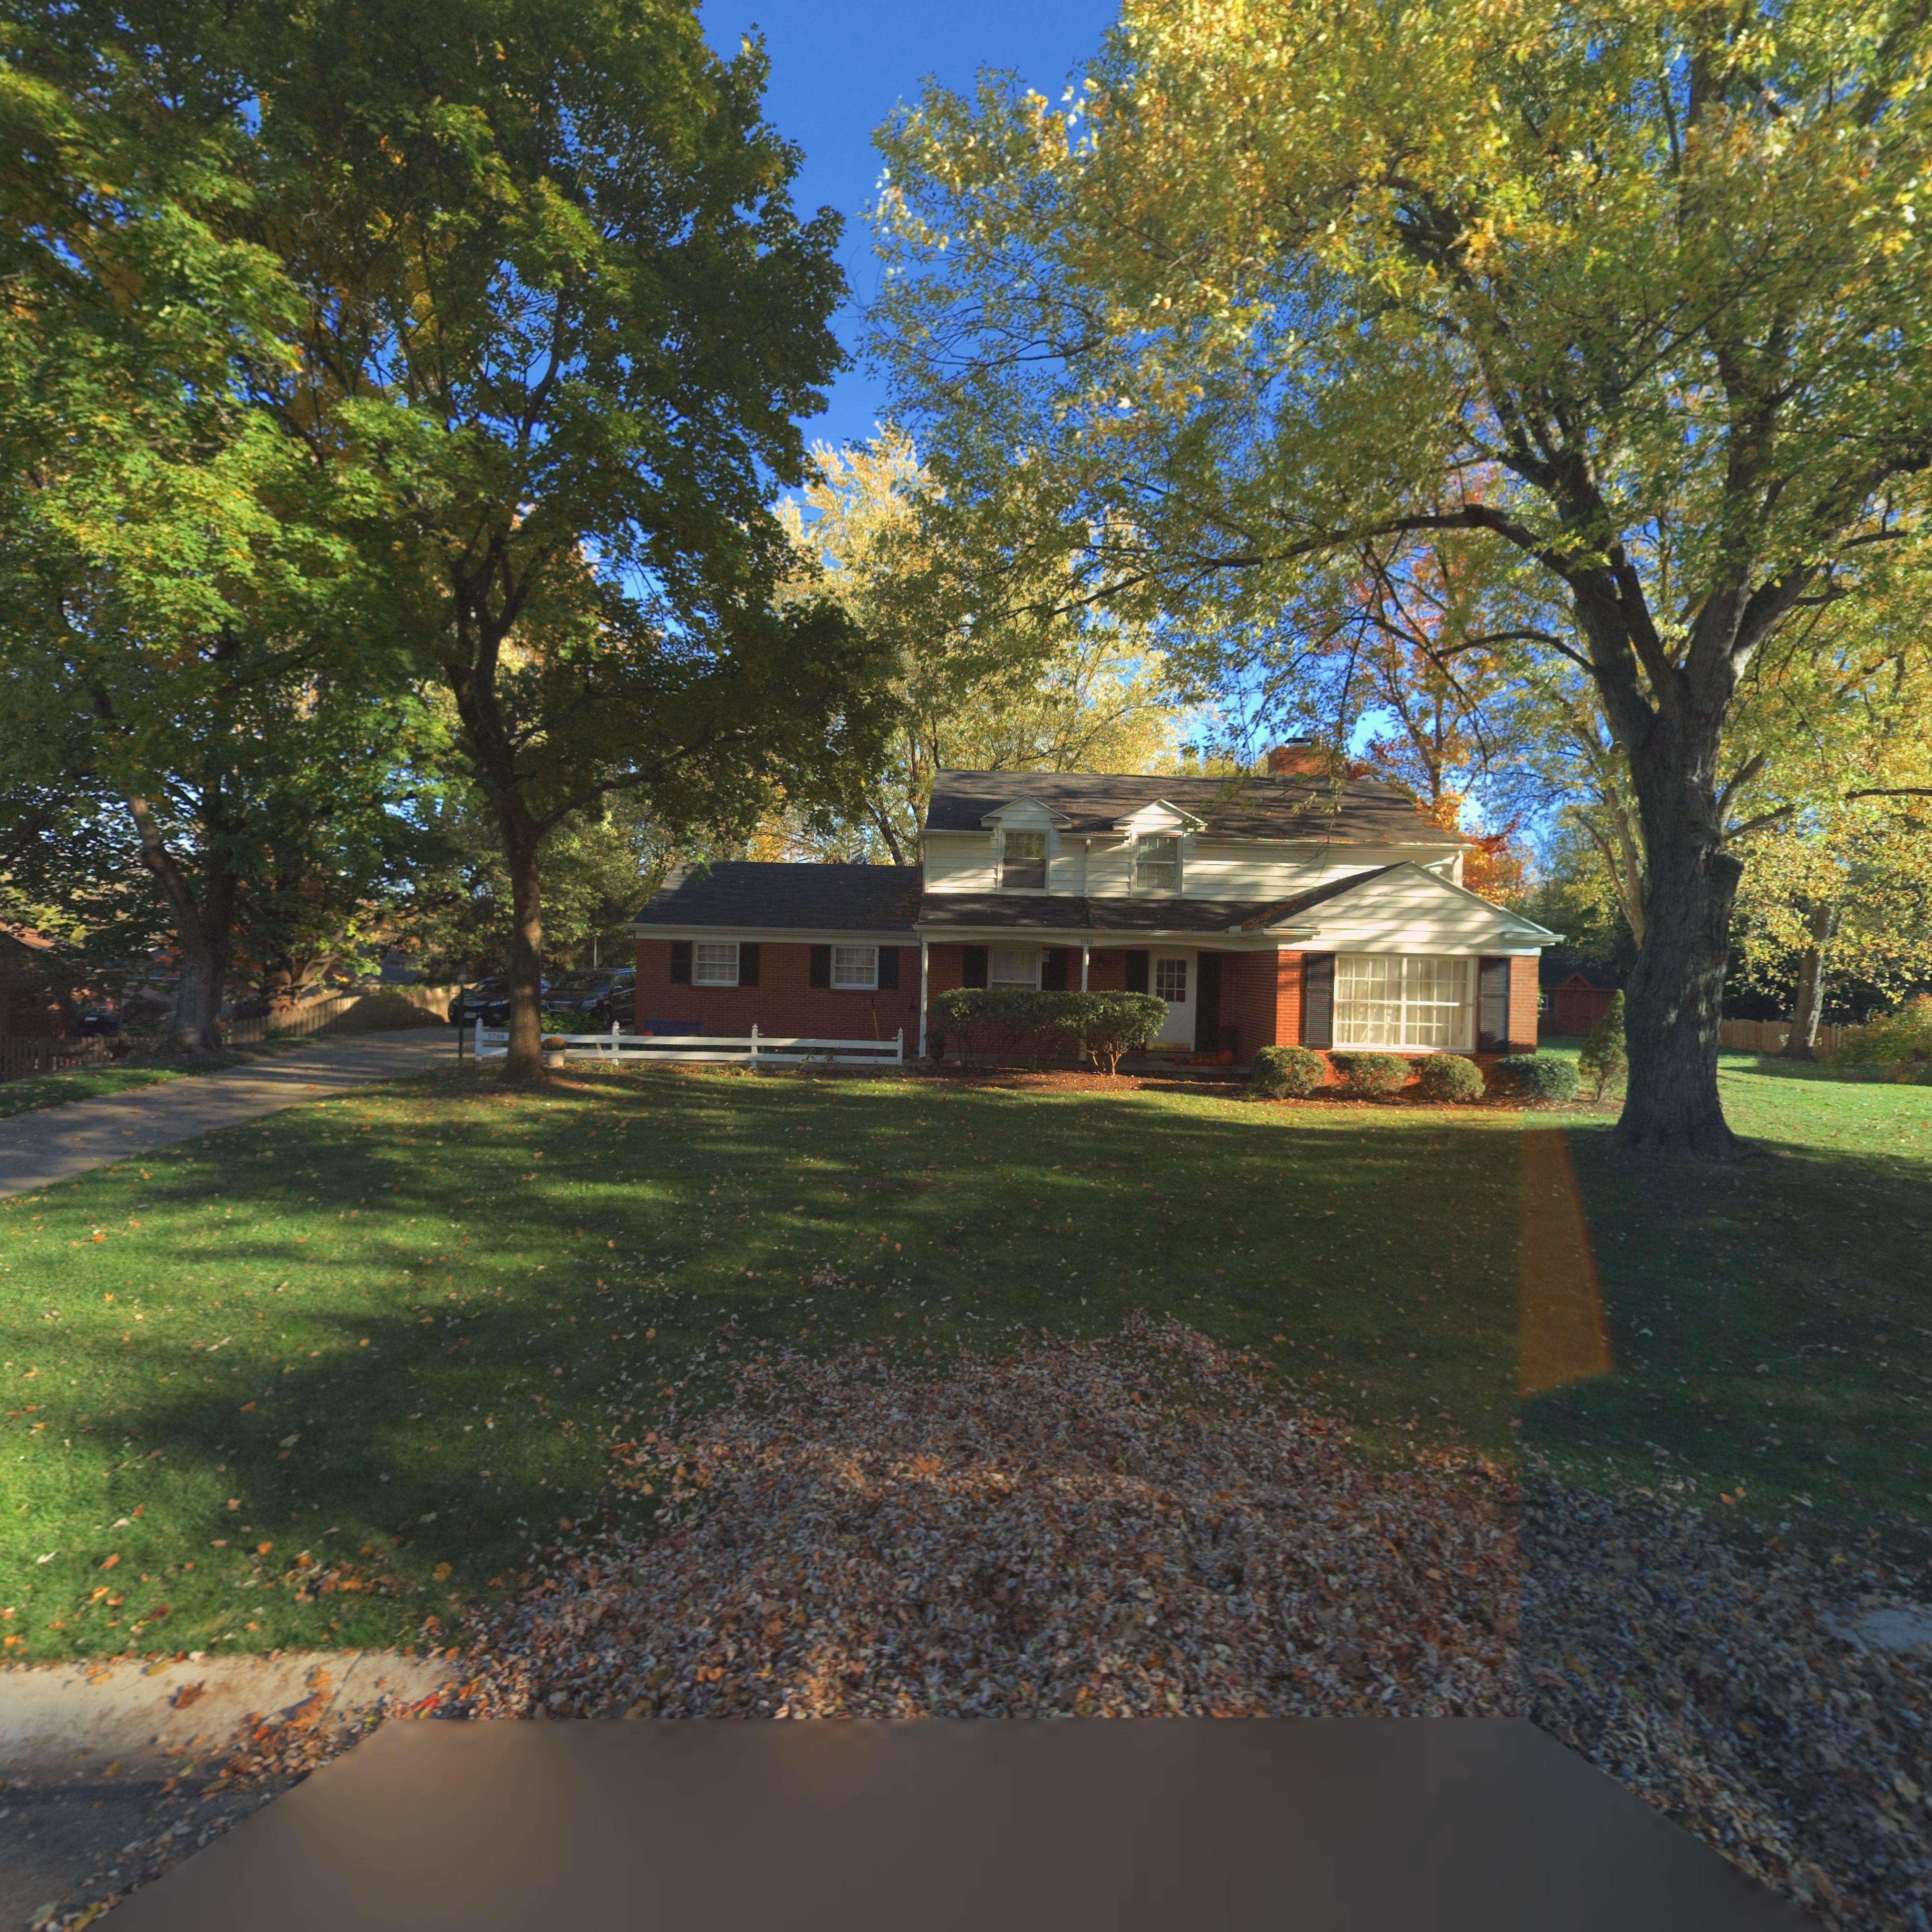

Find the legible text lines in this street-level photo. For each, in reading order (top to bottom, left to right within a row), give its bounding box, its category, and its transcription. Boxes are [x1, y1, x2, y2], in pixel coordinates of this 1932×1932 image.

[1079, 938, 1094, 945] StreetNumber: 5788
[487, 1033, 505, 1040] StreetNumber: 5788